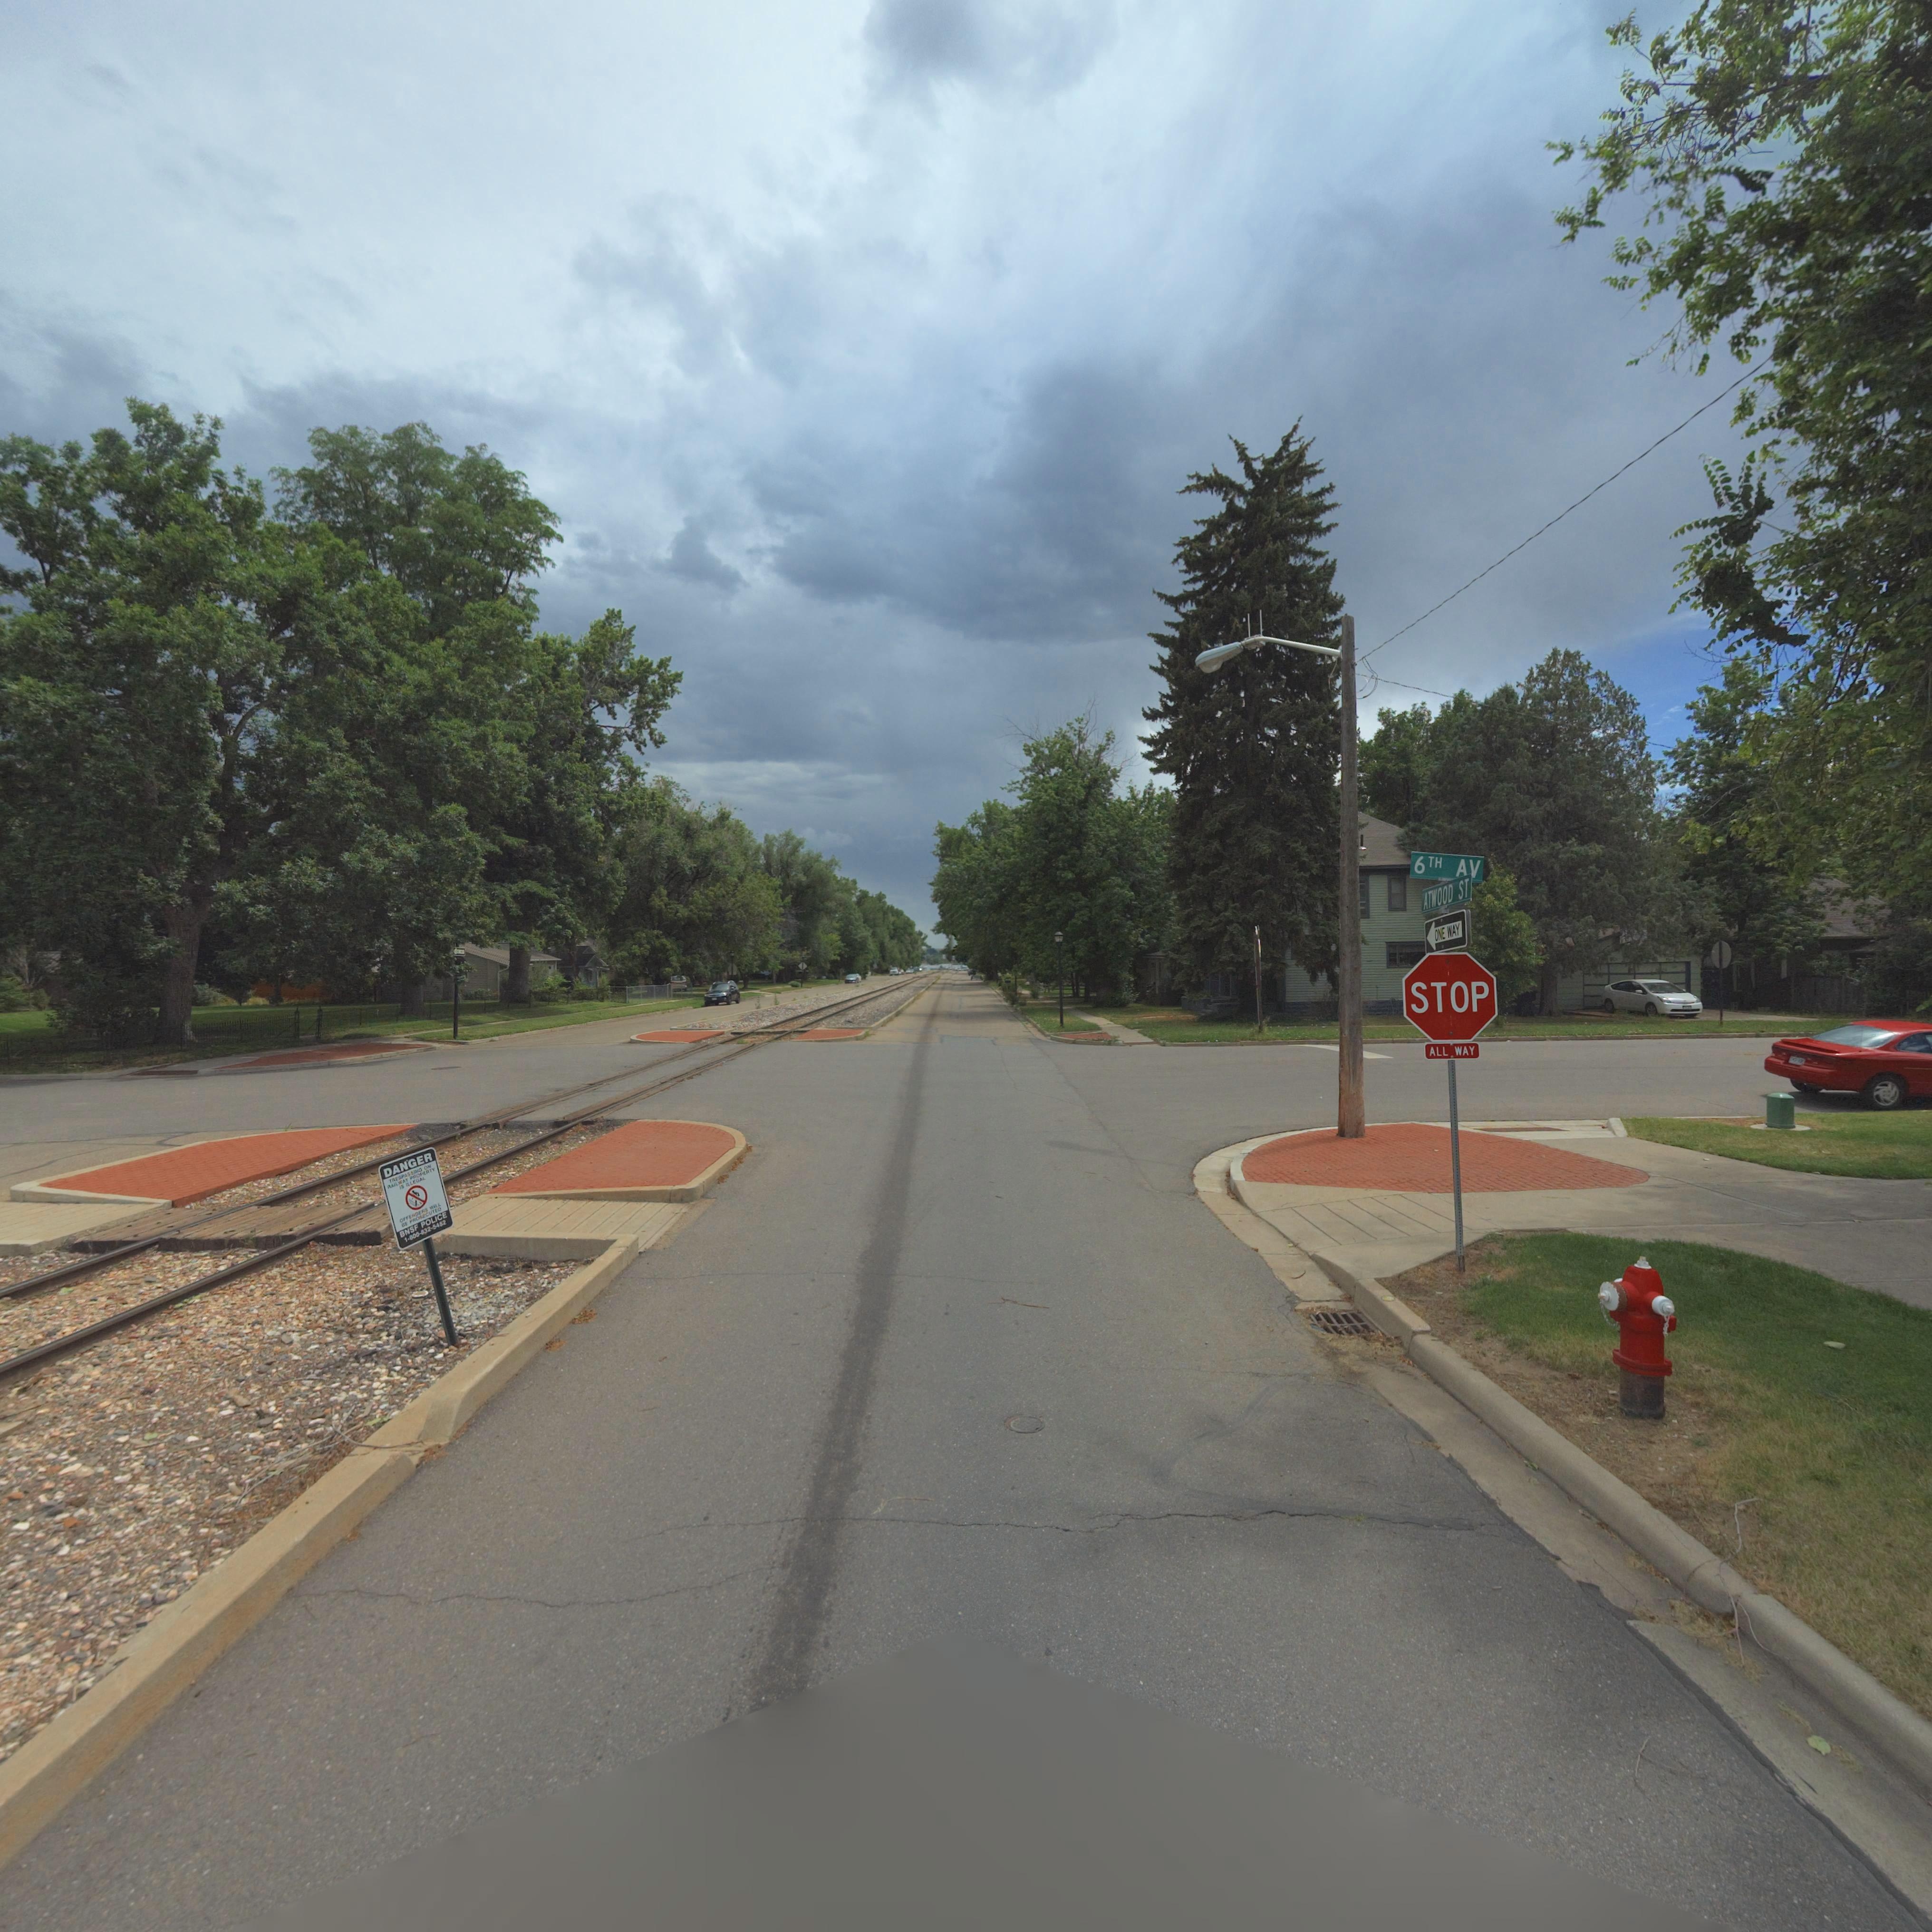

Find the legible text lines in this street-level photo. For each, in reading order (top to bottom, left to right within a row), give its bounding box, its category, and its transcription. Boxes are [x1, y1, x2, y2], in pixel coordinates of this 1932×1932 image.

[1414, 855, 1481, 879] StreetName: 6TH AV
[1422, 878, 1469, 910] StreetName: ATWOOD ST